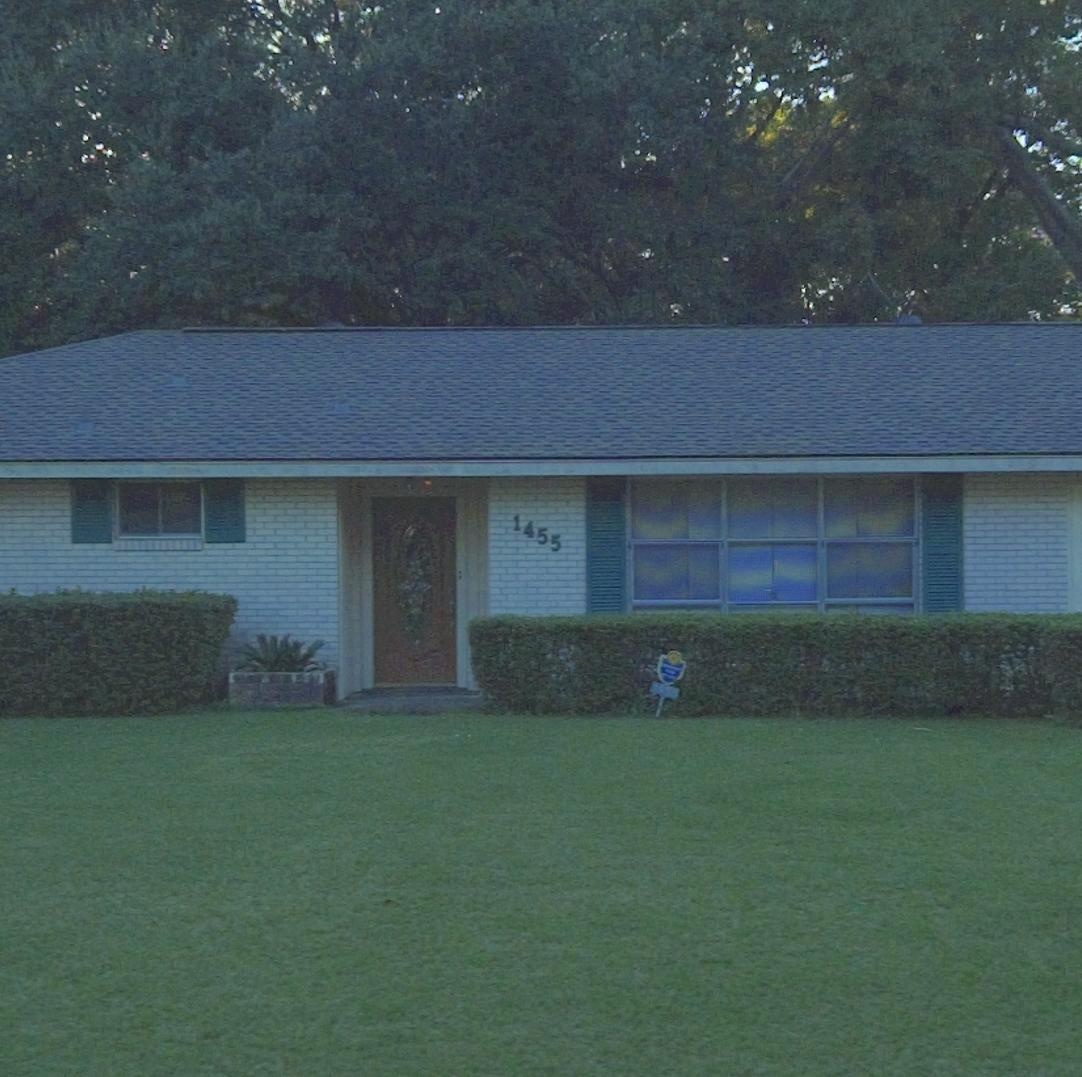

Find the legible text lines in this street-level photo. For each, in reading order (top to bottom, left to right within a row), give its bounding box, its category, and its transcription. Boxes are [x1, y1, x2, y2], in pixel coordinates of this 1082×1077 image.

[512, 512, 563, 553] StreetNumber: 1455
[649, 681, 681, 700] StreetNumber: 1455